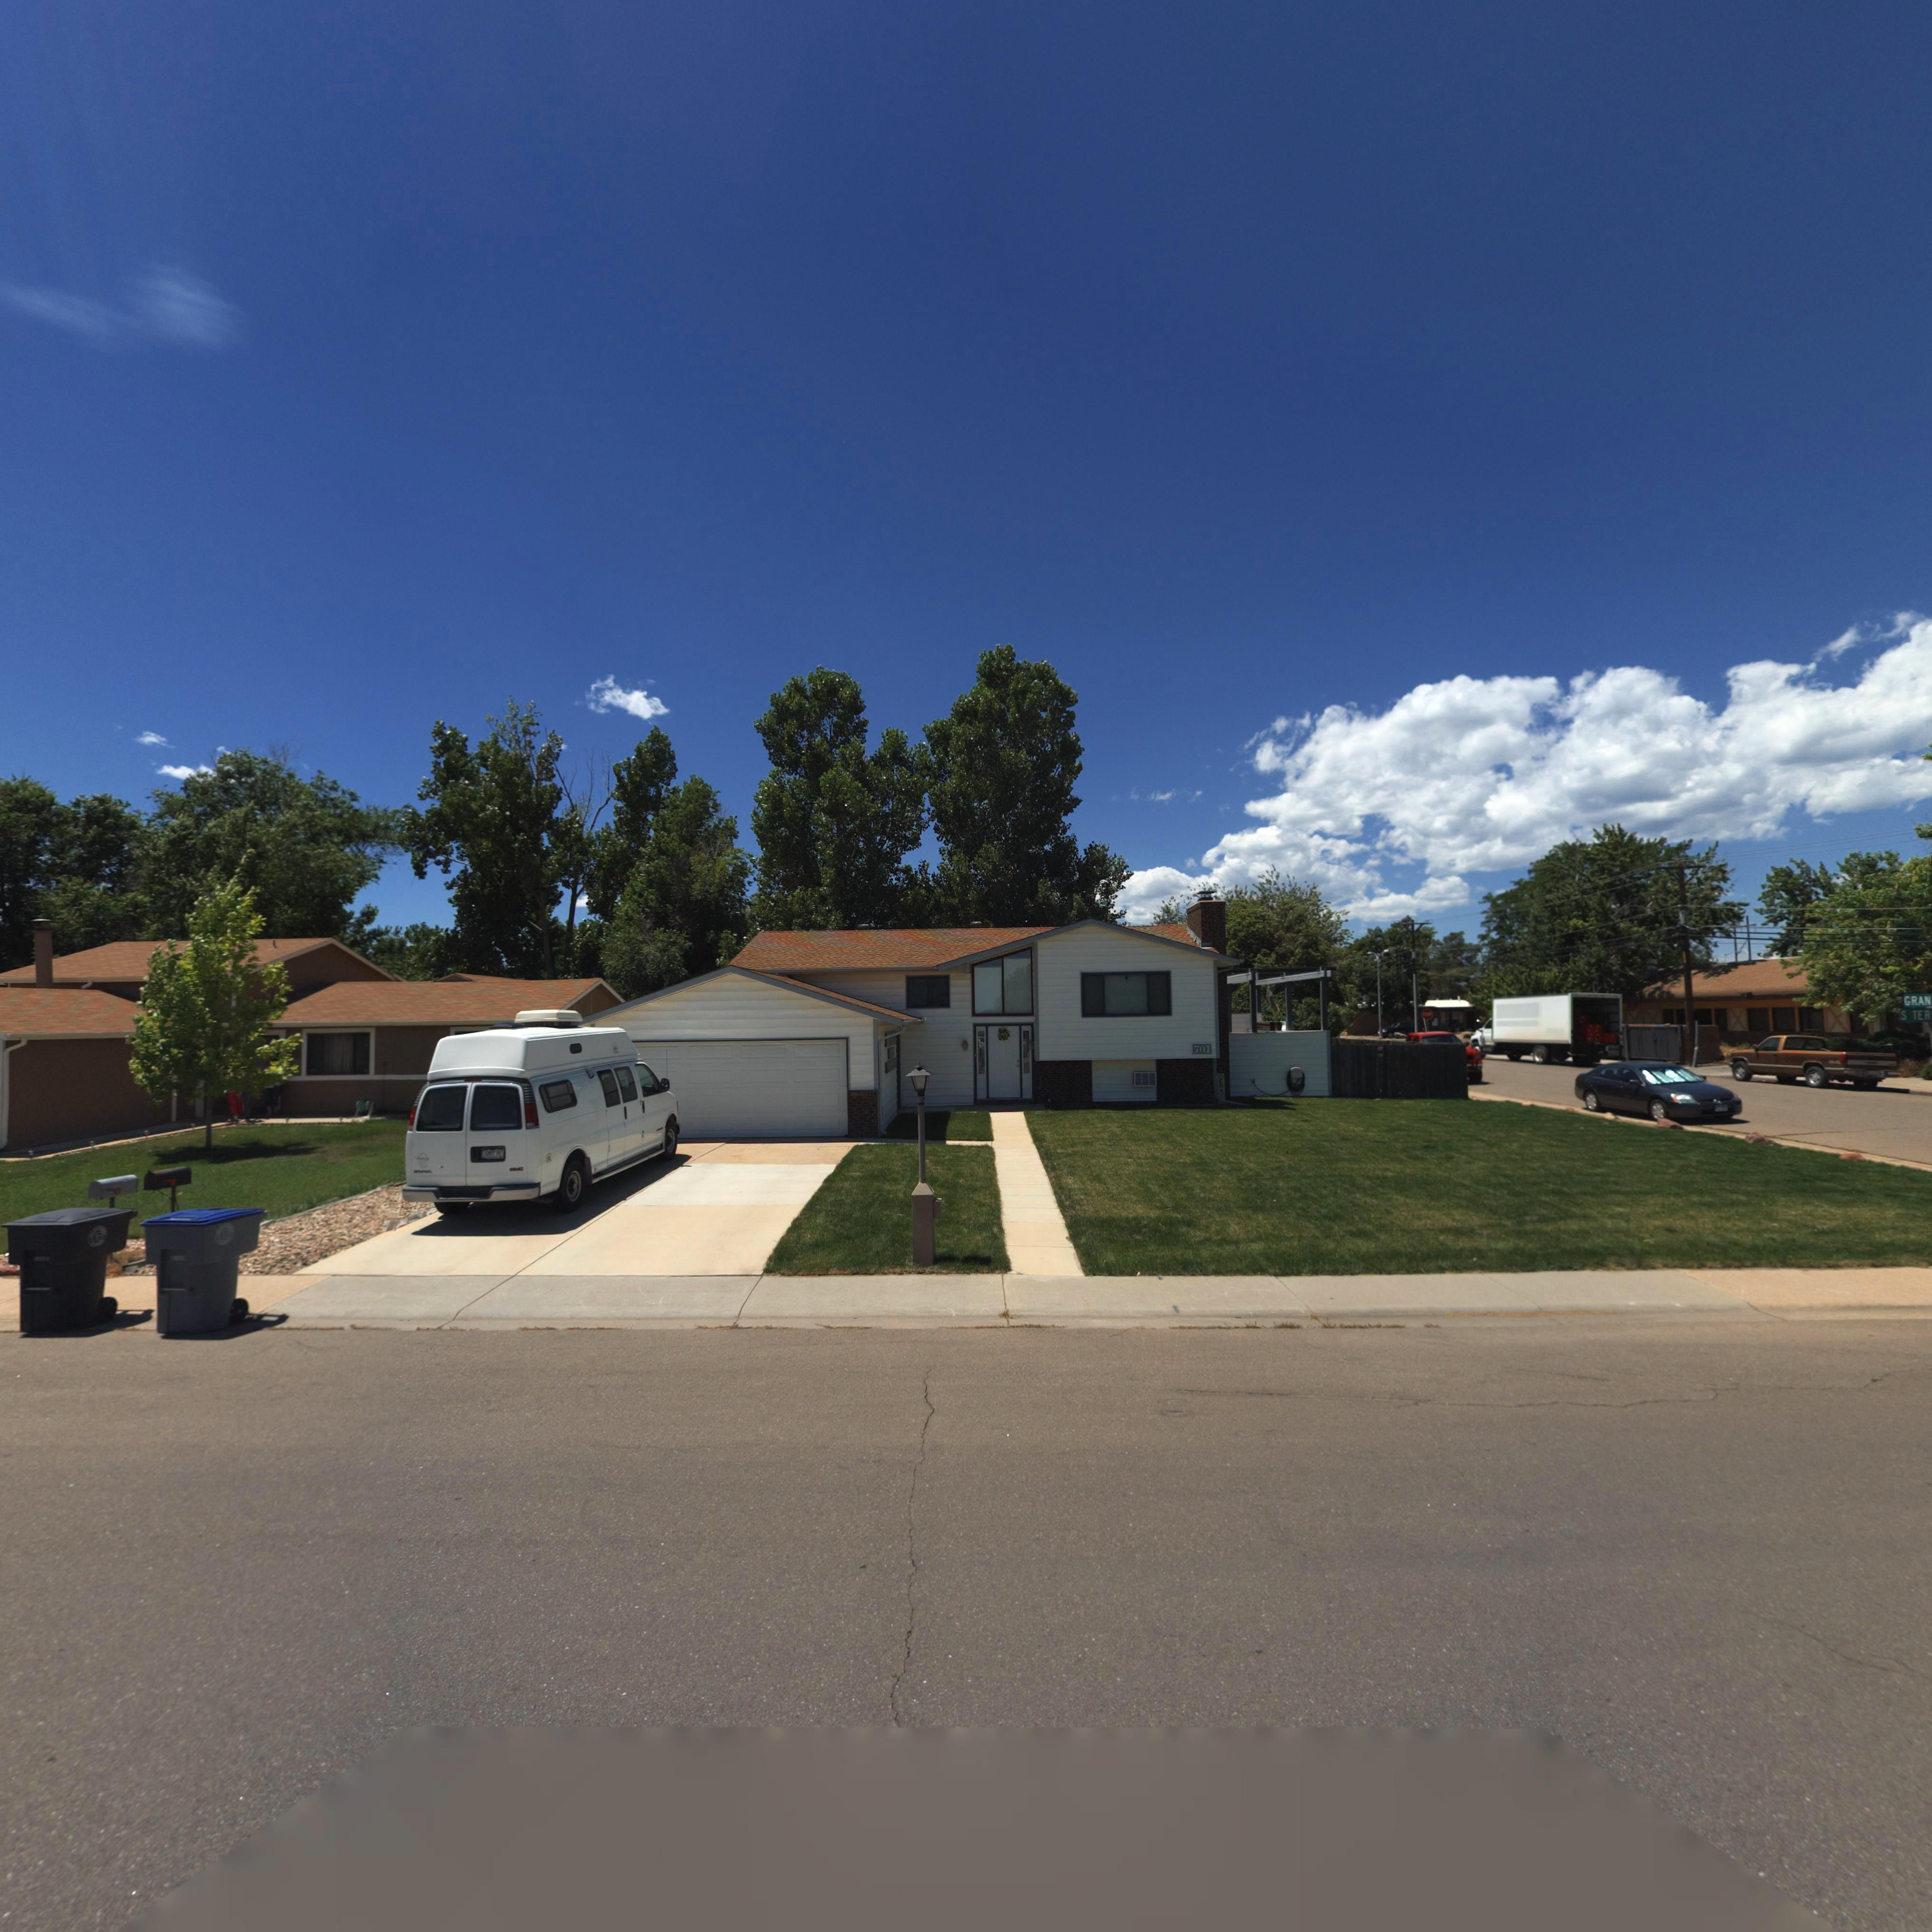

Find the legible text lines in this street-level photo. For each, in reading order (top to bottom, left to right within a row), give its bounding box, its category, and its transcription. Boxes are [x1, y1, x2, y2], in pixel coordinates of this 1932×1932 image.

[1903, 995, 1931, 1006] StreetName: GRAN
[1900, 1010, 1931, 1021] StreetName: S TER
[1193, 1045, 1211, 1053] StreetNumber: 701